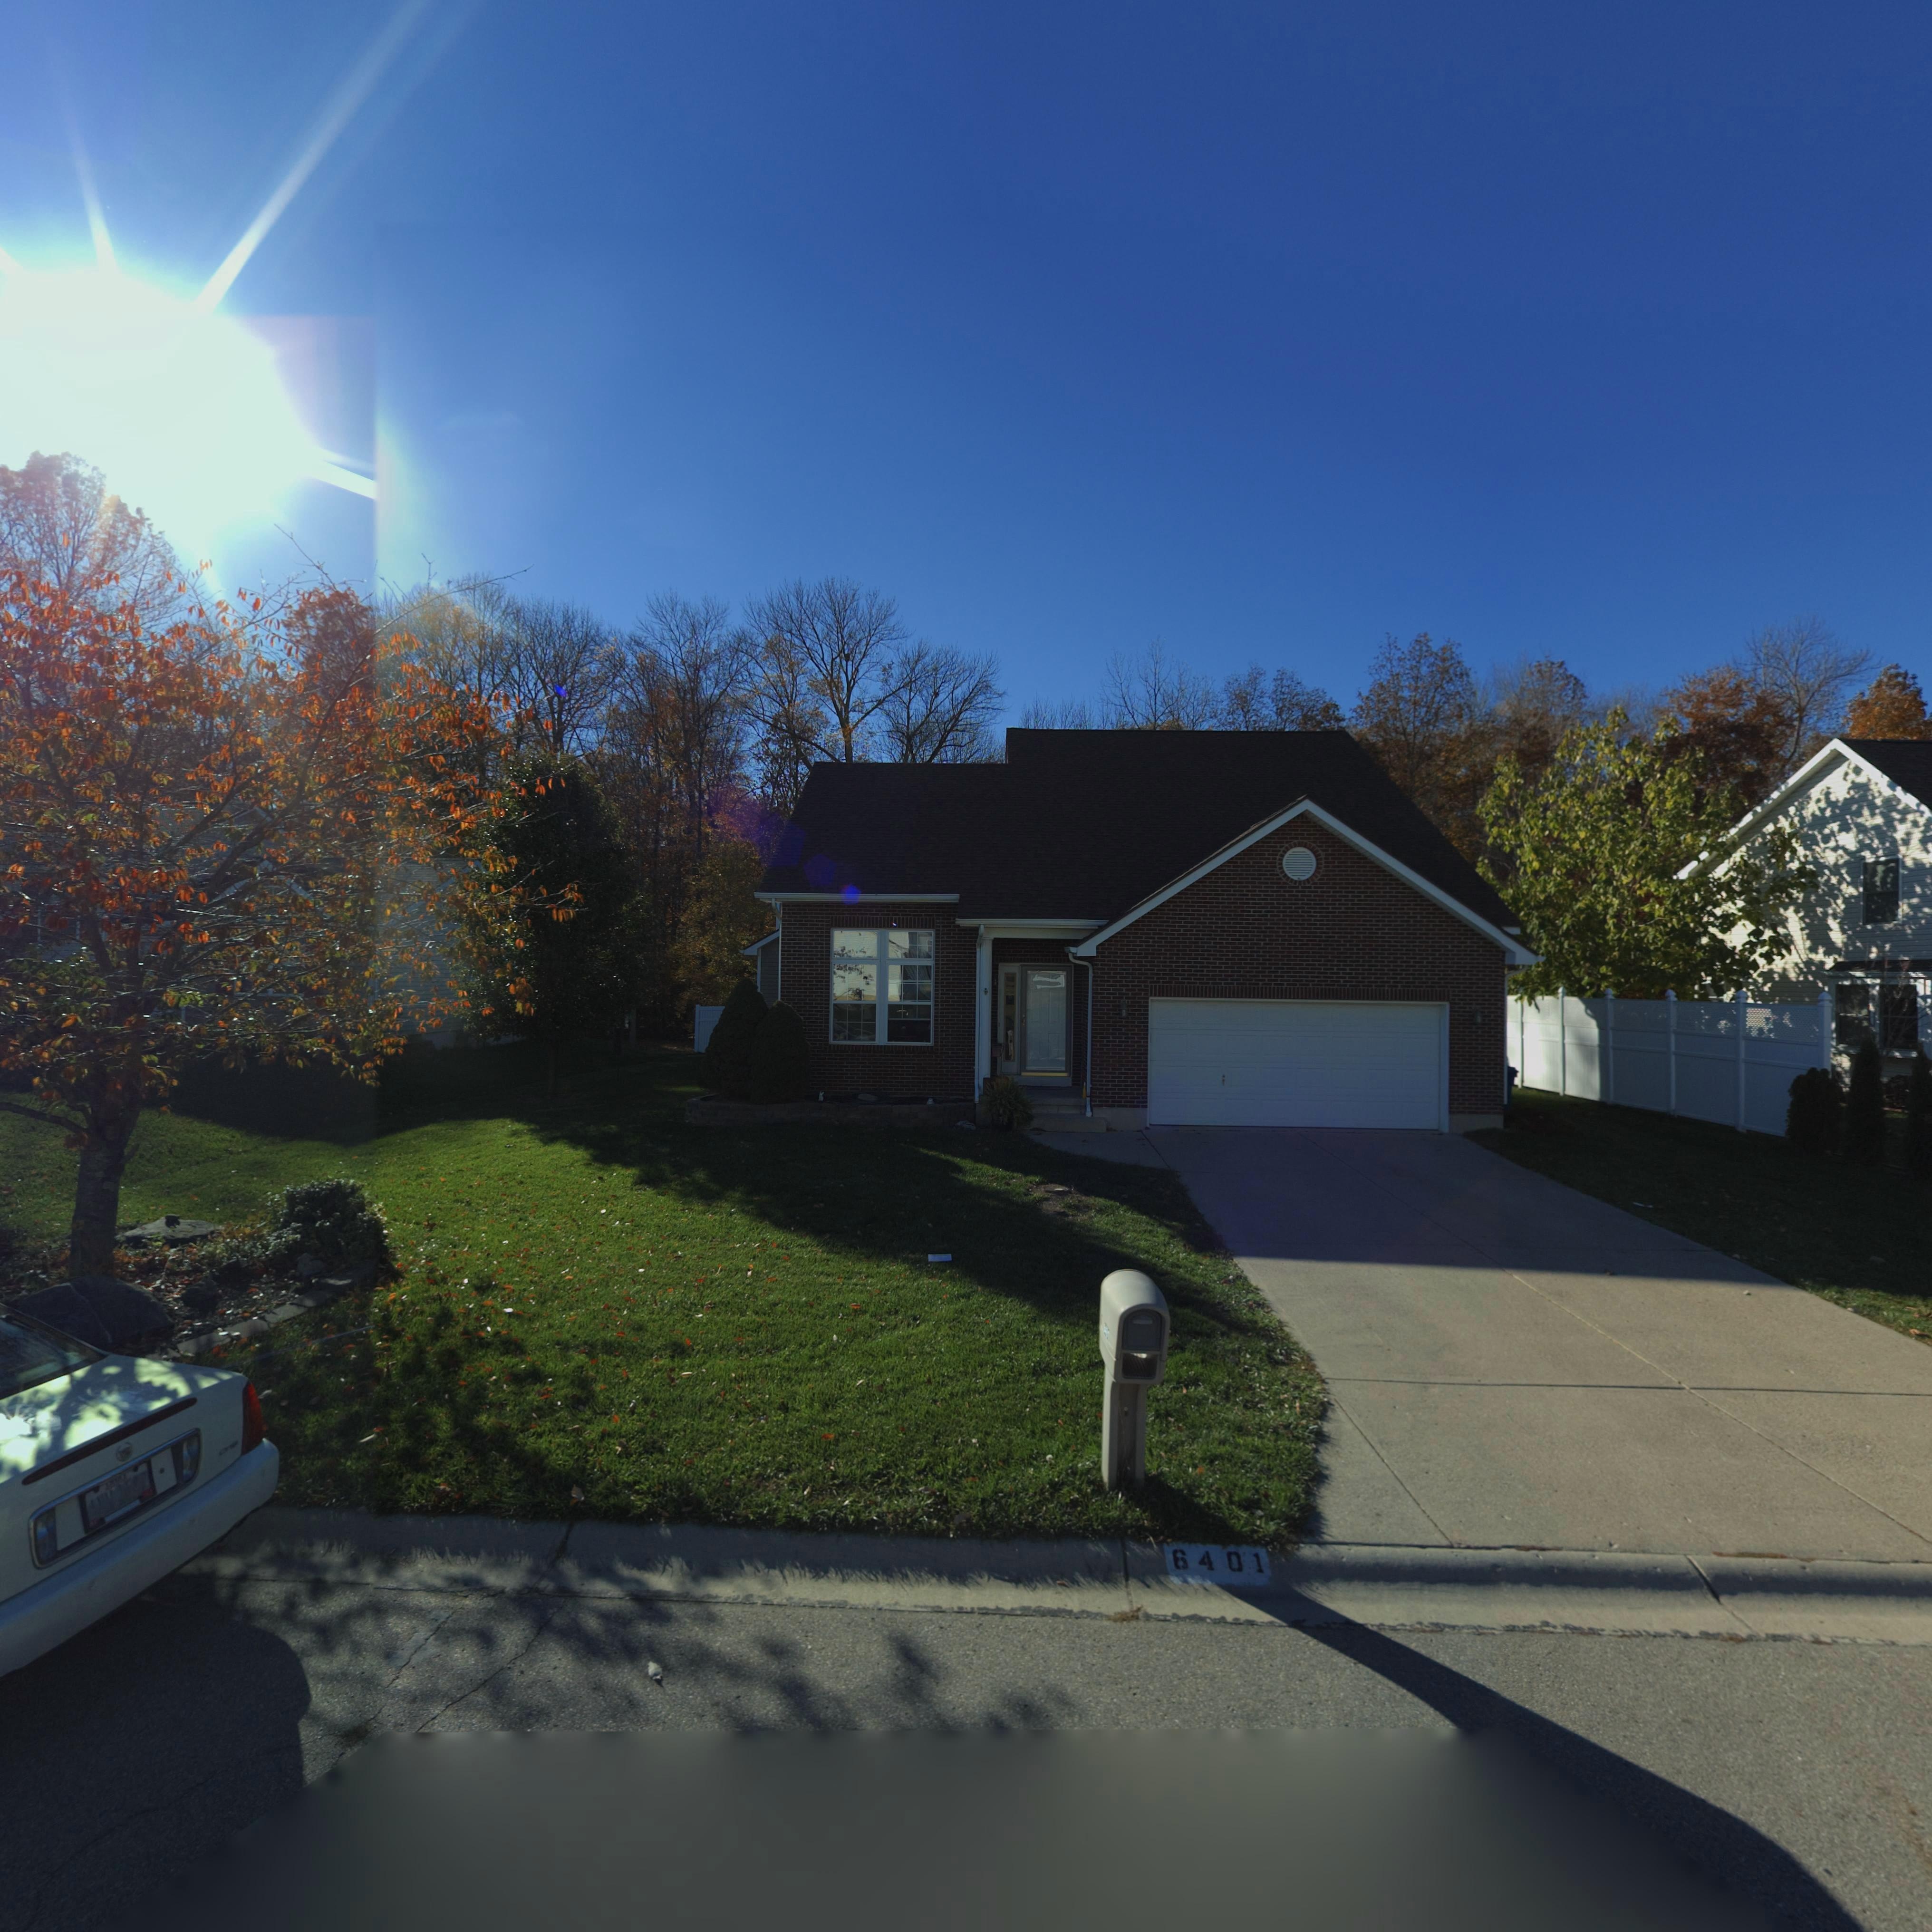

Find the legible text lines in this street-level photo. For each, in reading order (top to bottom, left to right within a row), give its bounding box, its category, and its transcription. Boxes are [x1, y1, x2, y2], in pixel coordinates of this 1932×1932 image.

[1169, 1547, 1266, 1575] StreetNumber: 6401